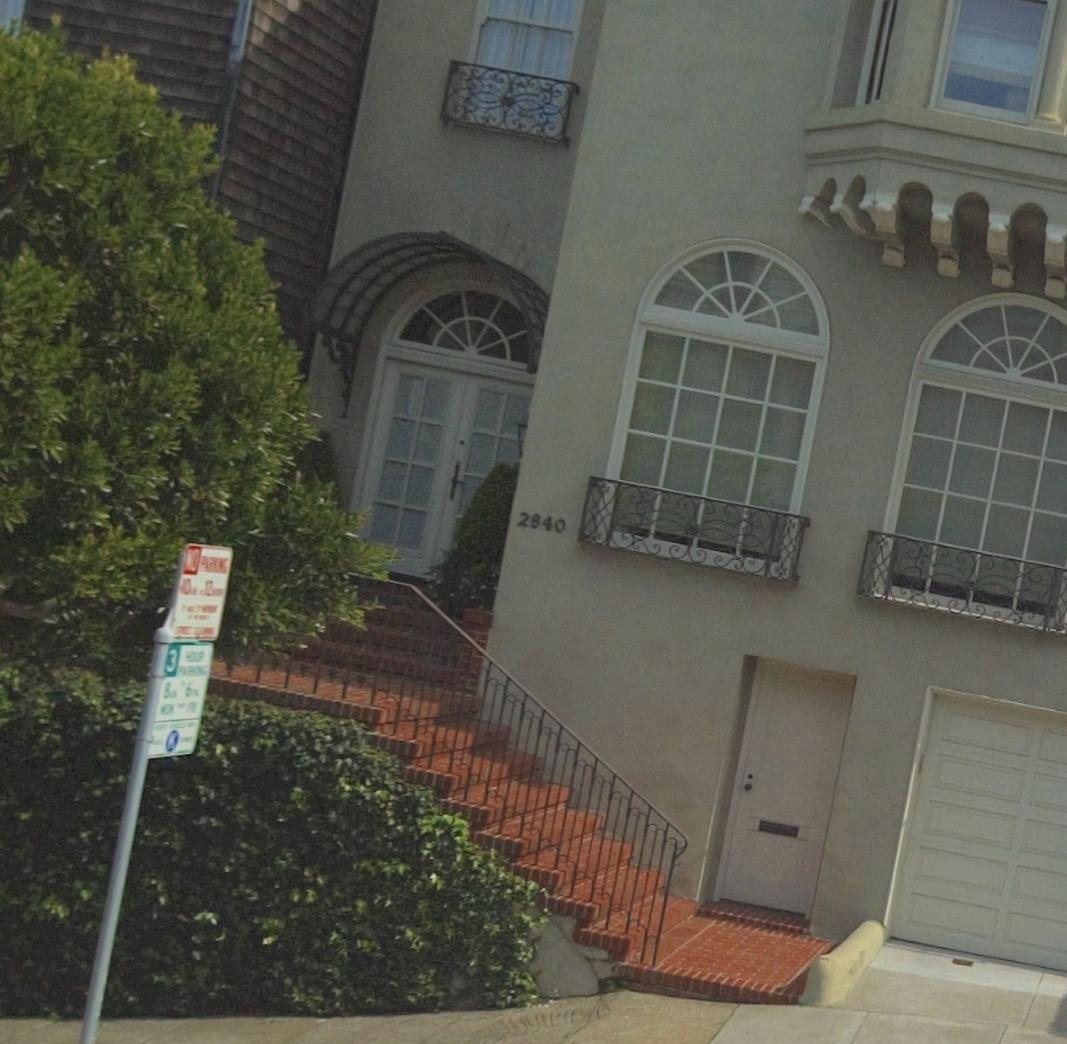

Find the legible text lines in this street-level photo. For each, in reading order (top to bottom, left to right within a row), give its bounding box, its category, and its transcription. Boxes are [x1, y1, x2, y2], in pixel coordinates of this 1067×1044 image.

[512, 508, 568, 537] StreetNumber: 2840
[188, 546, 209, 576] None: O P
[163, 646, 179, 676] None: 3
[160, 679, 173, 702] None: 8
[181, 679, 194, 700] None: 6
[164, 729, 180, 752] None: K